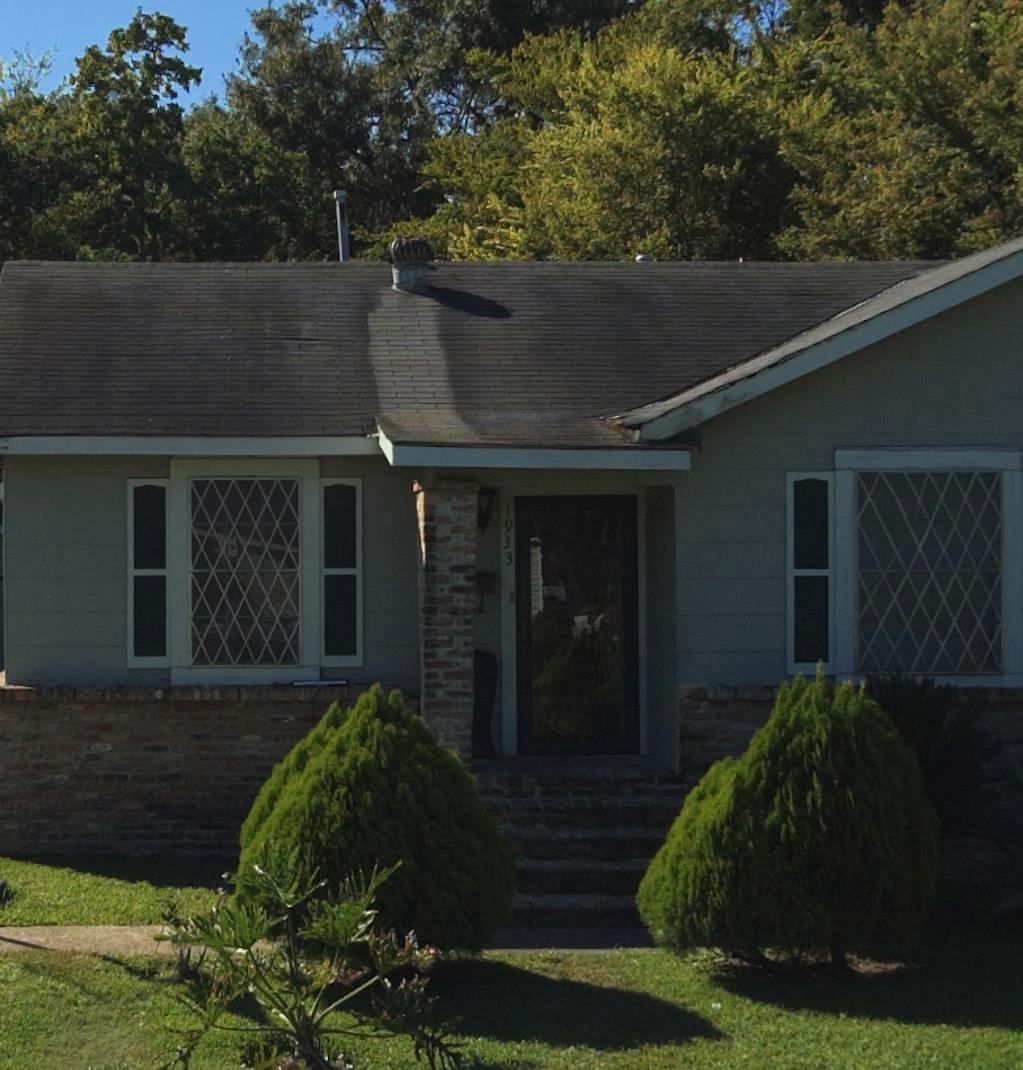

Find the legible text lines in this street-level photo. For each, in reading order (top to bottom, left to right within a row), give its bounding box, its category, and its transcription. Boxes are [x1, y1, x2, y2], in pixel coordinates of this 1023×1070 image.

[501, 501, 515, 568] StreetNumber: 1933